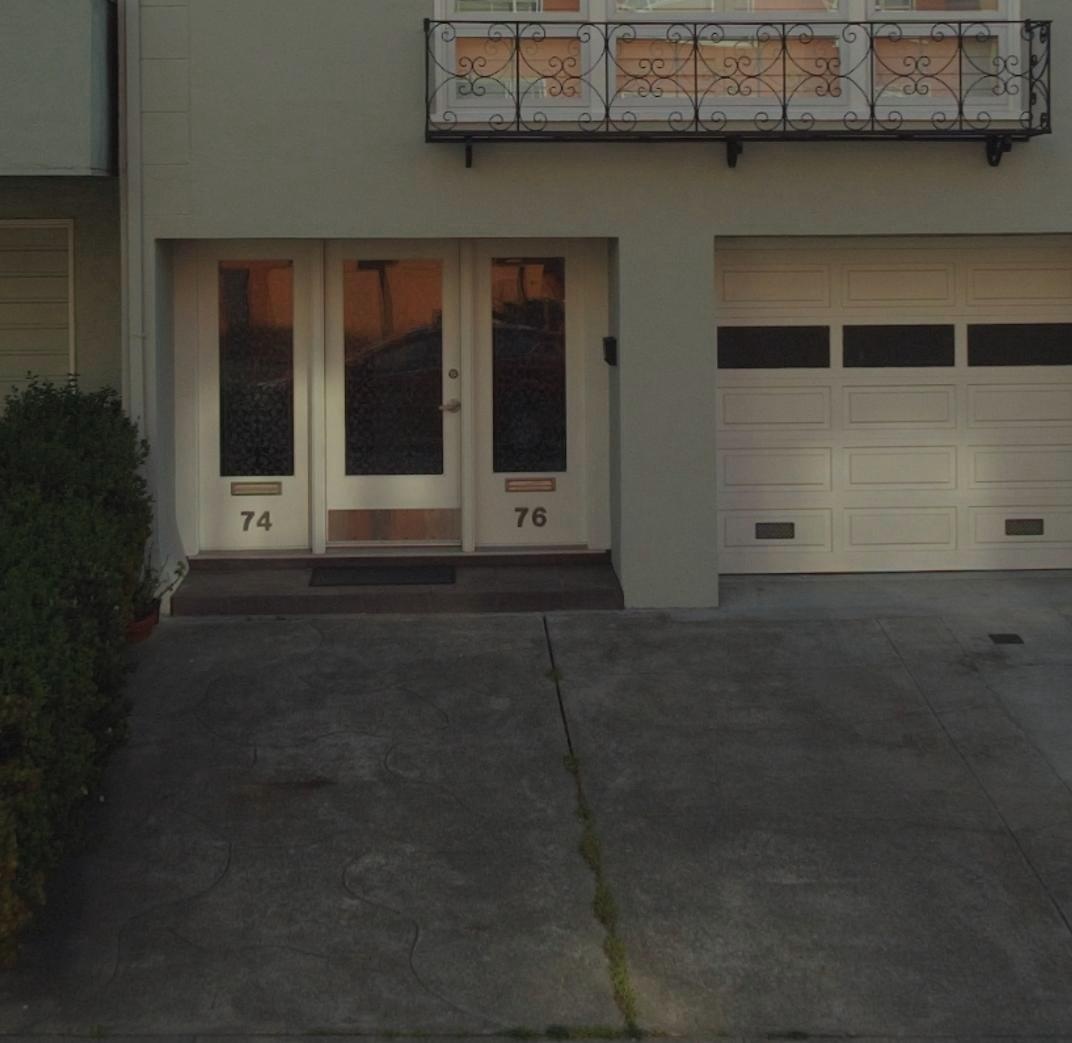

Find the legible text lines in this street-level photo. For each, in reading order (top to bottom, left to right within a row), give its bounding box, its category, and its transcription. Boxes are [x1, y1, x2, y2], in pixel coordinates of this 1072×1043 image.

[238, 508, 275, 534] StreetNumber: 74
[512, 504, 550, 530] StreetNumber: 76